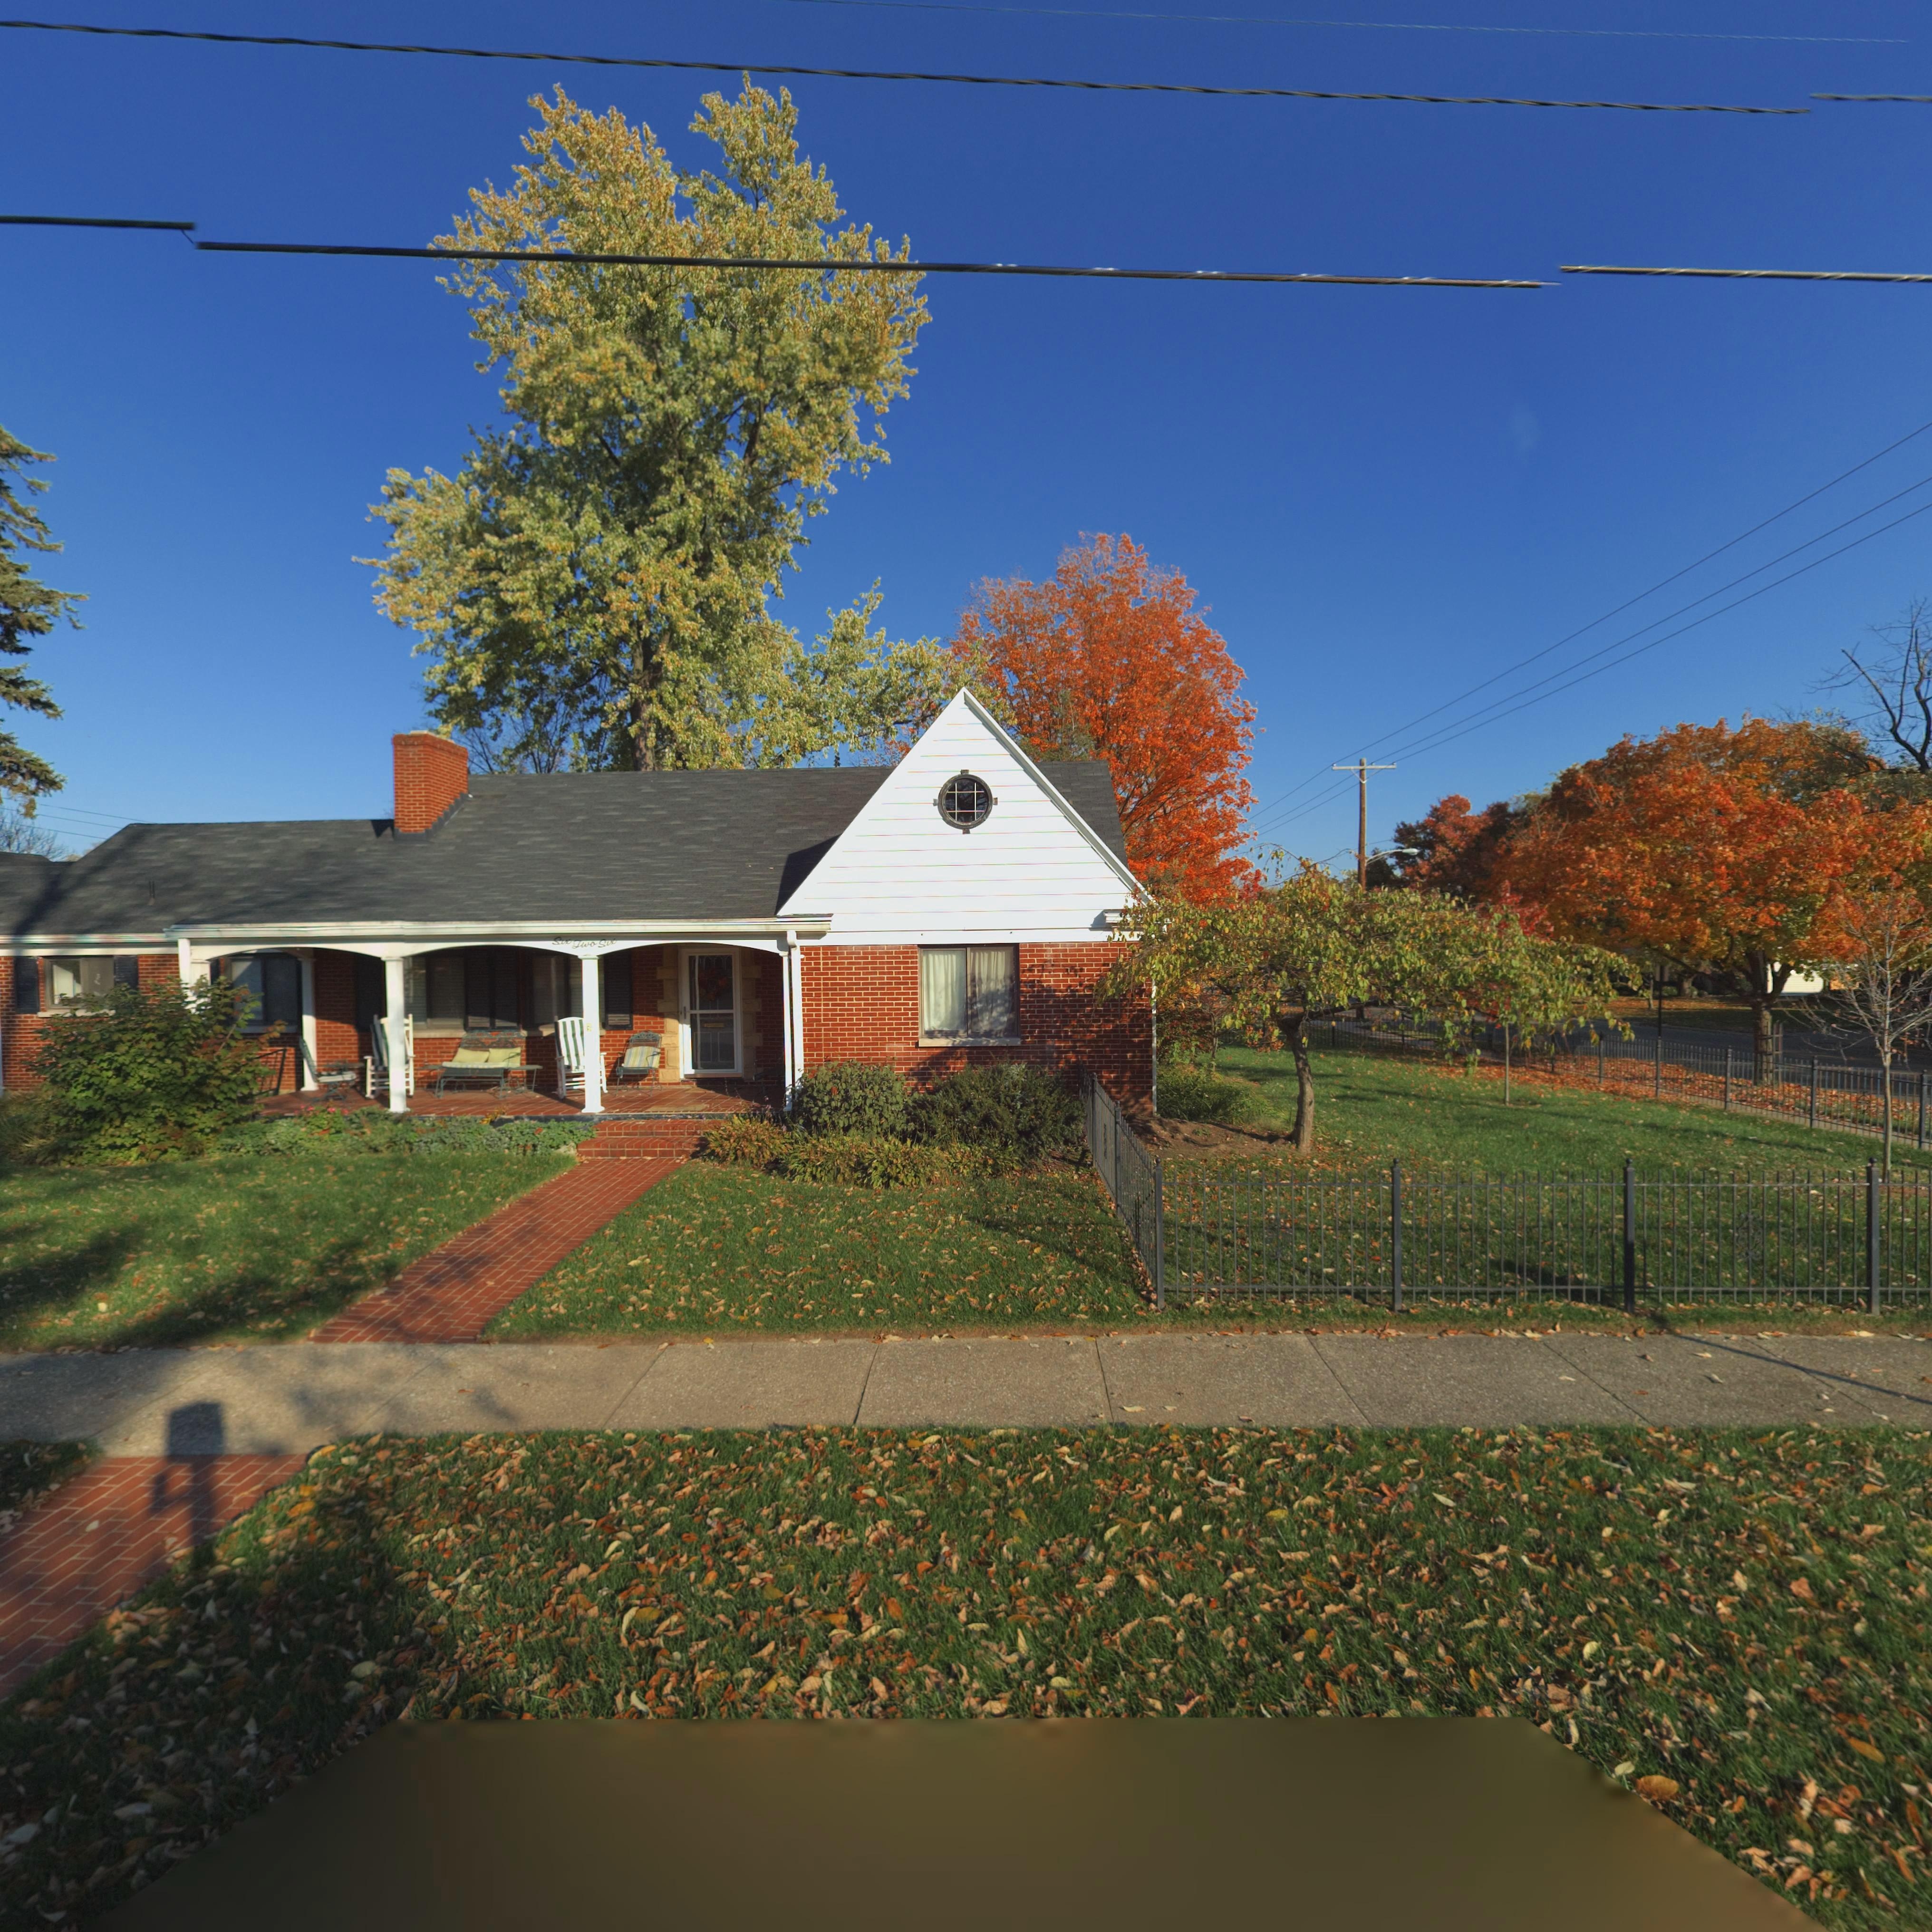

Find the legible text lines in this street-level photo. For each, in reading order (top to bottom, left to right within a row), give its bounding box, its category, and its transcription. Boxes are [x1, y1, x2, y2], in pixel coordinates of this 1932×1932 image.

[550, 936, 618, 949] StreetNumber: Six Two Six